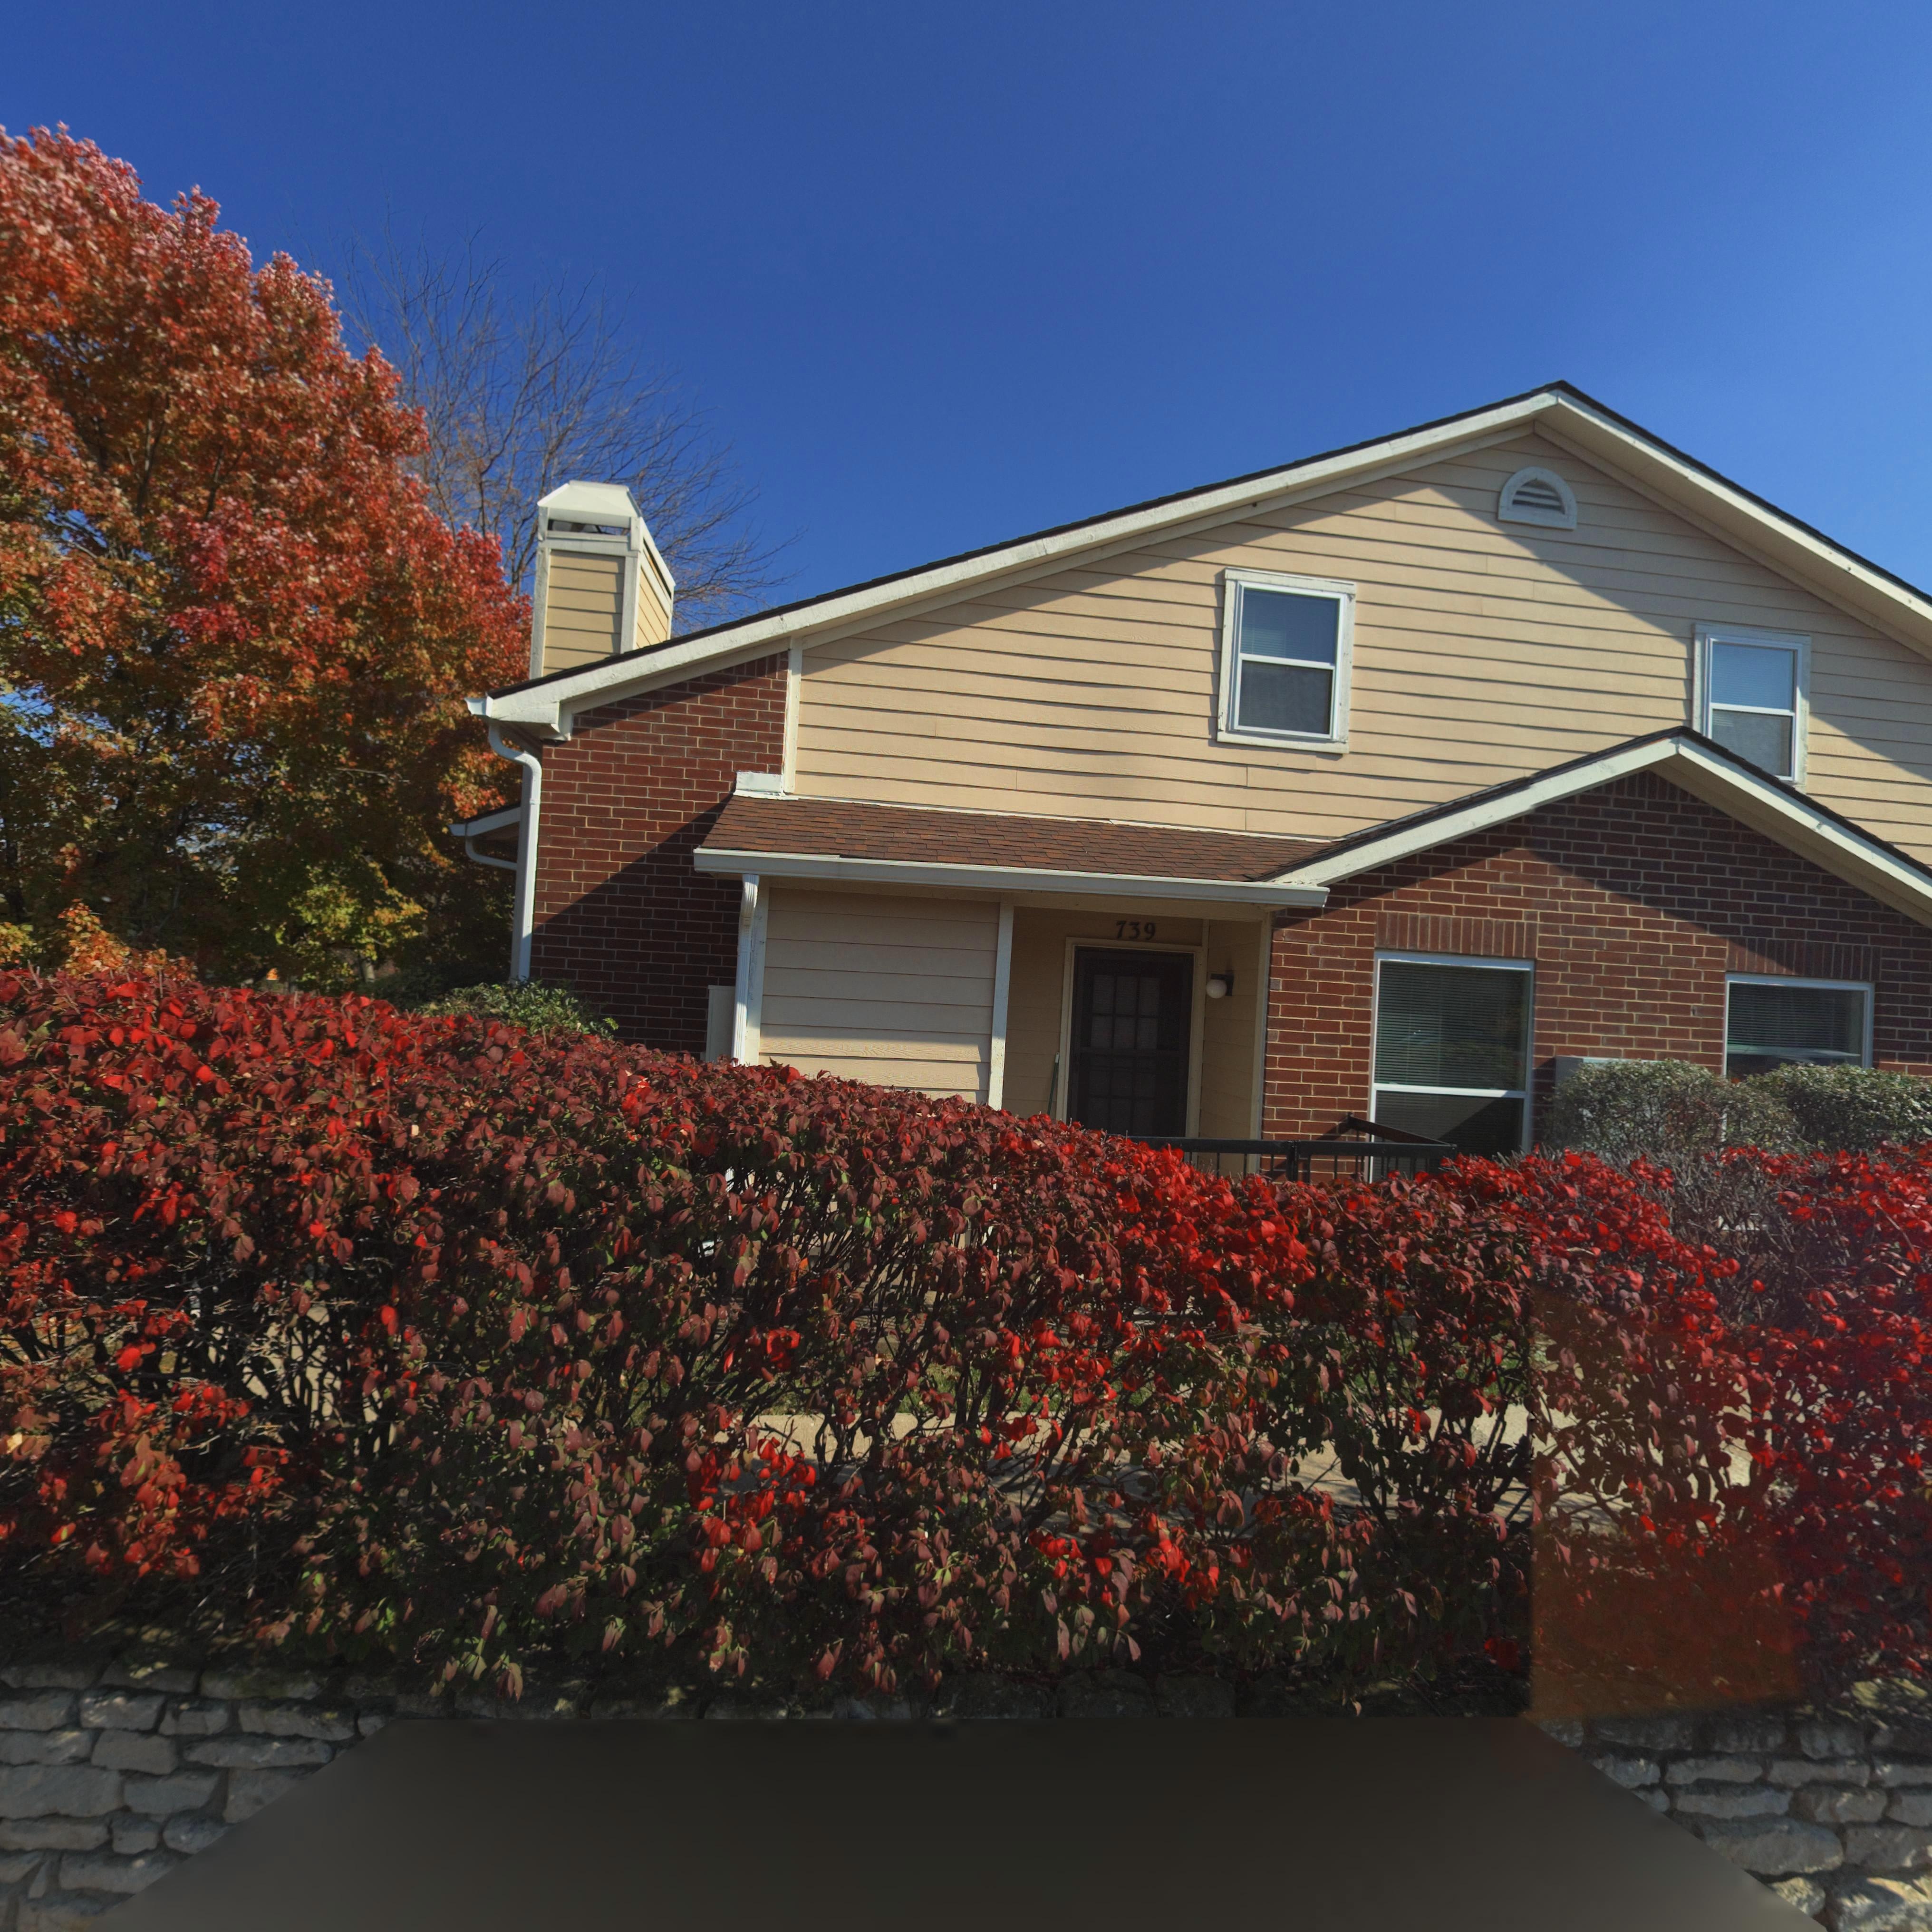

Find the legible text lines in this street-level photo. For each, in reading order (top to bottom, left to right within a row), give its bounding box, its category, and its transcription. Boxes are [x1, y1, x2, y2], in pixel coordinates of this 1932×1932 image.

[1112, 917, 1158, 944] StreetNumber: 739